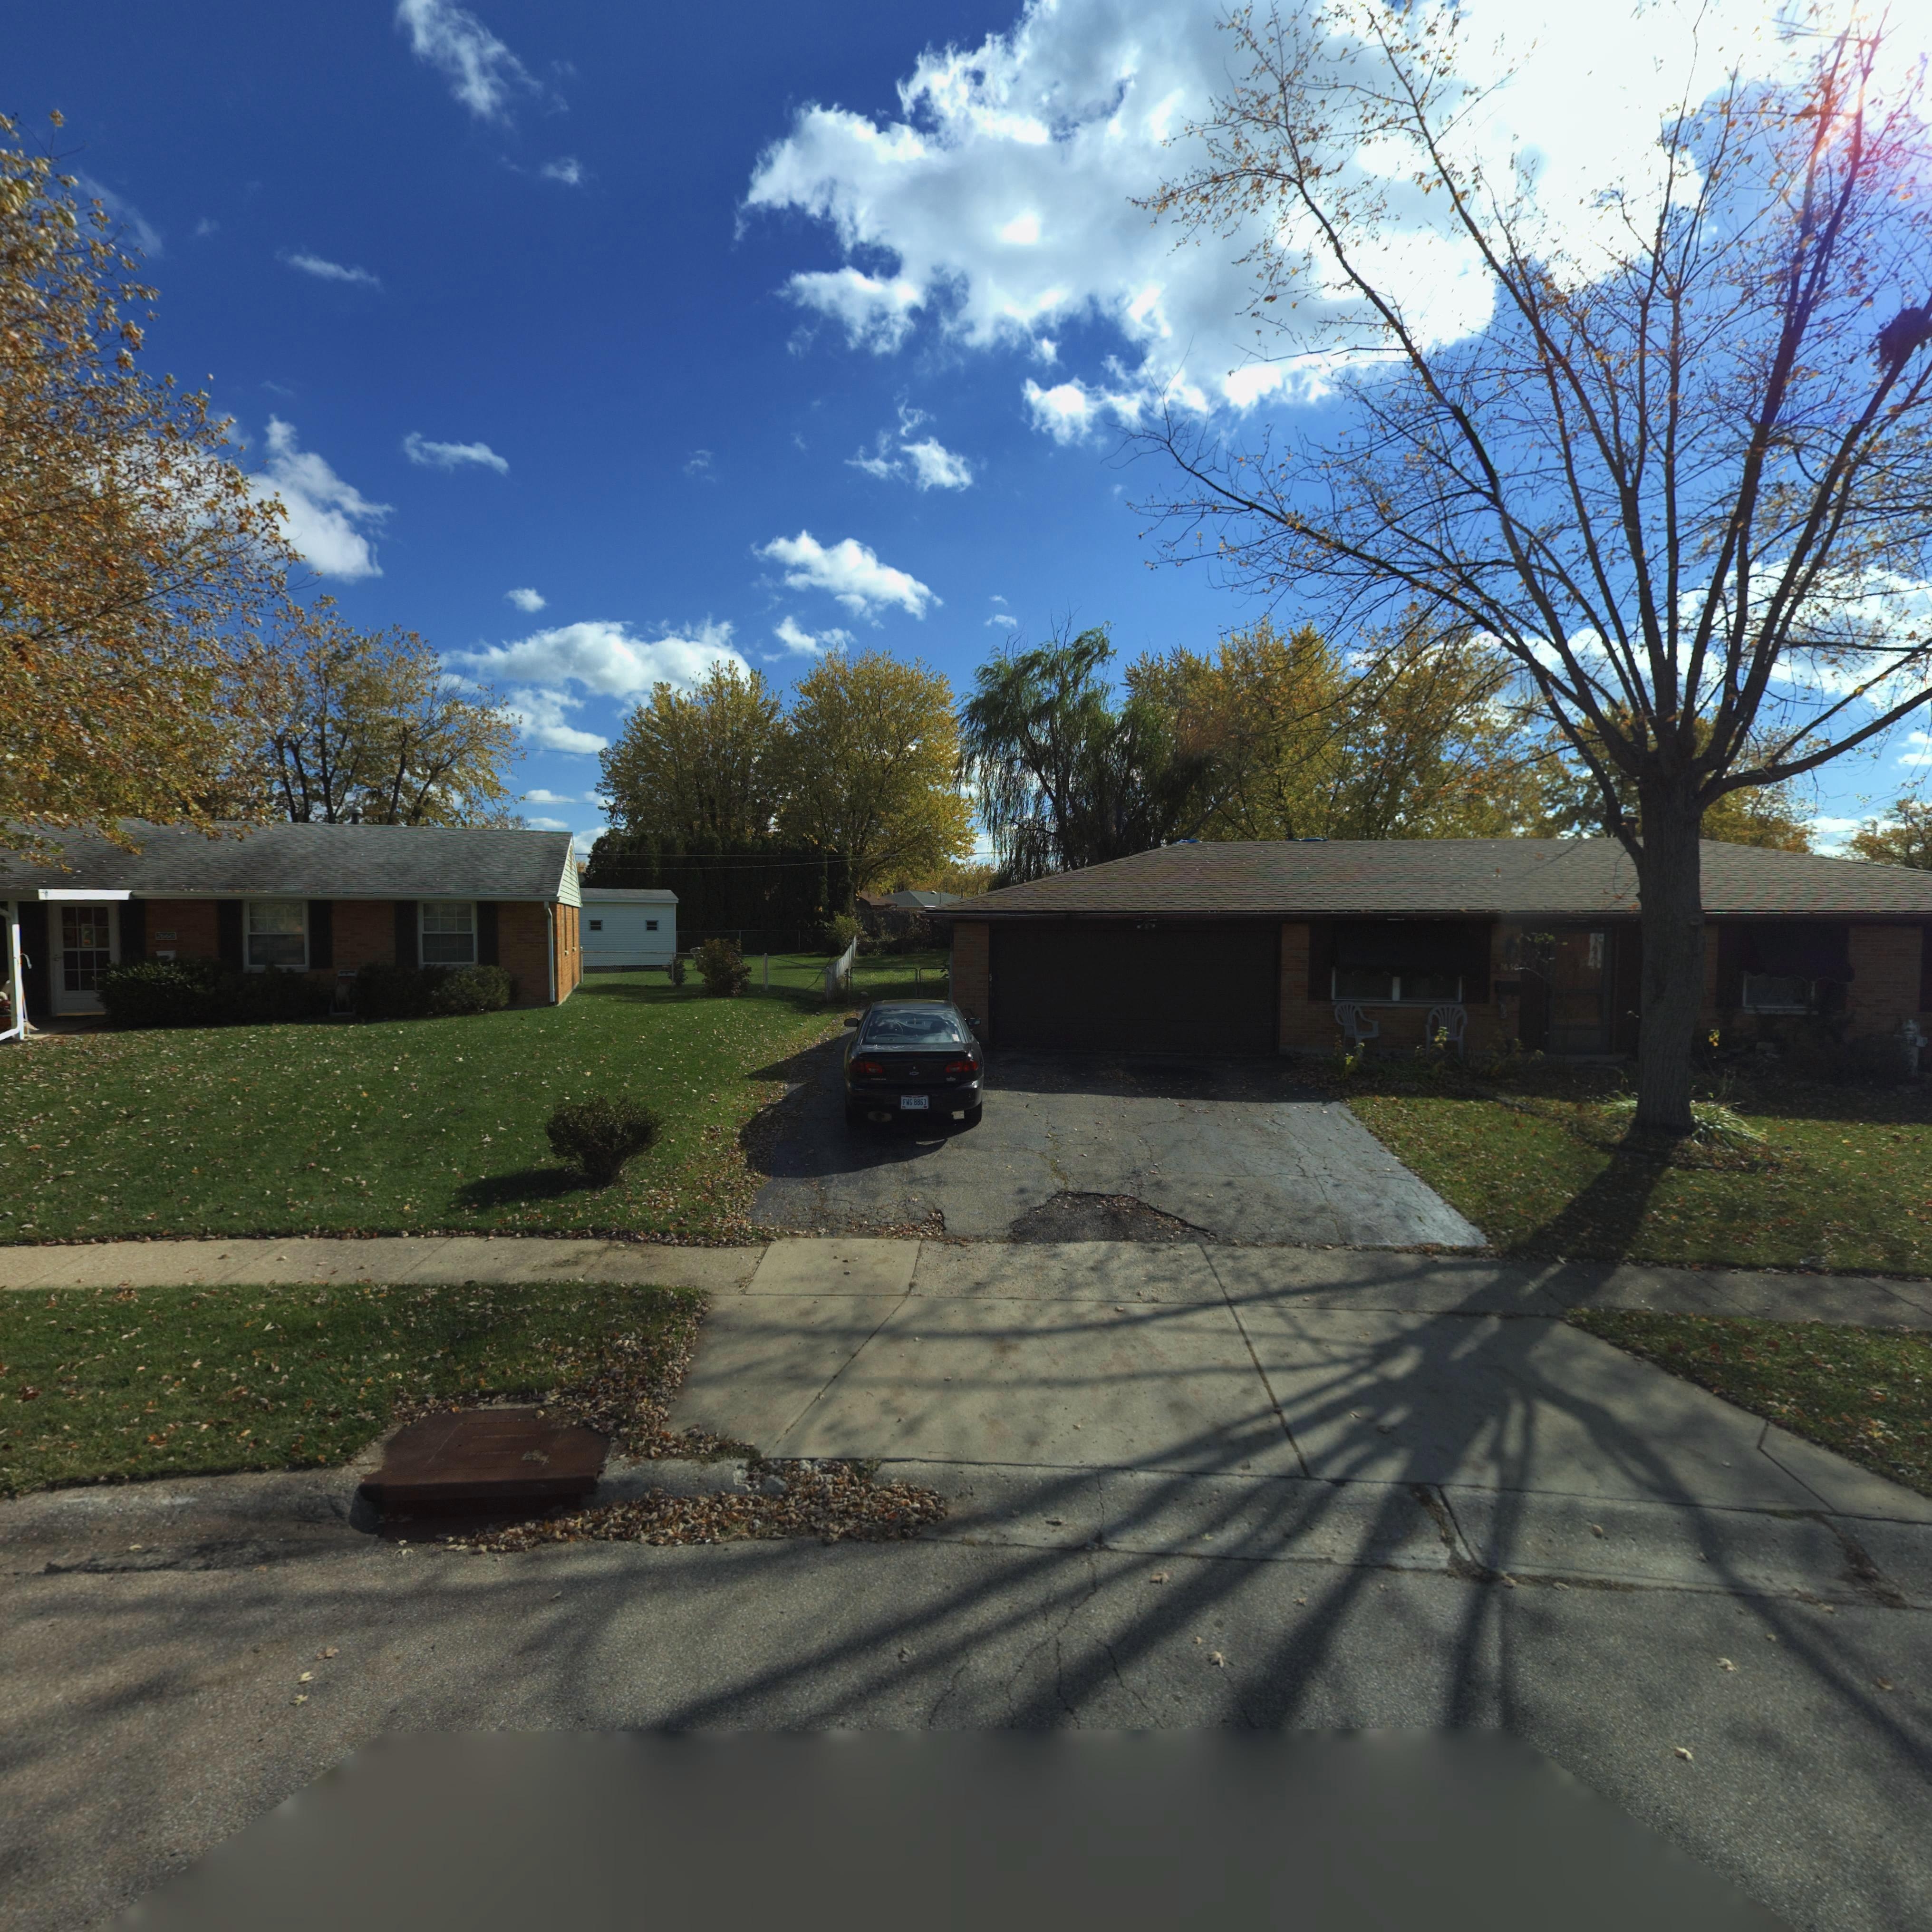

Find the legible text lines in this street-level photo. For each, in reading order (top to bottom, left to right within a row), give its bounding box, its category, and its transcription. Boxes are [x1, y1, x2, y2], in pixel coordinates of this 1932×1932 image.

[157, 933, 175, 939] StreetNumber: 7660
[1499, 963, 1519, 971] StreetNumber: 7650